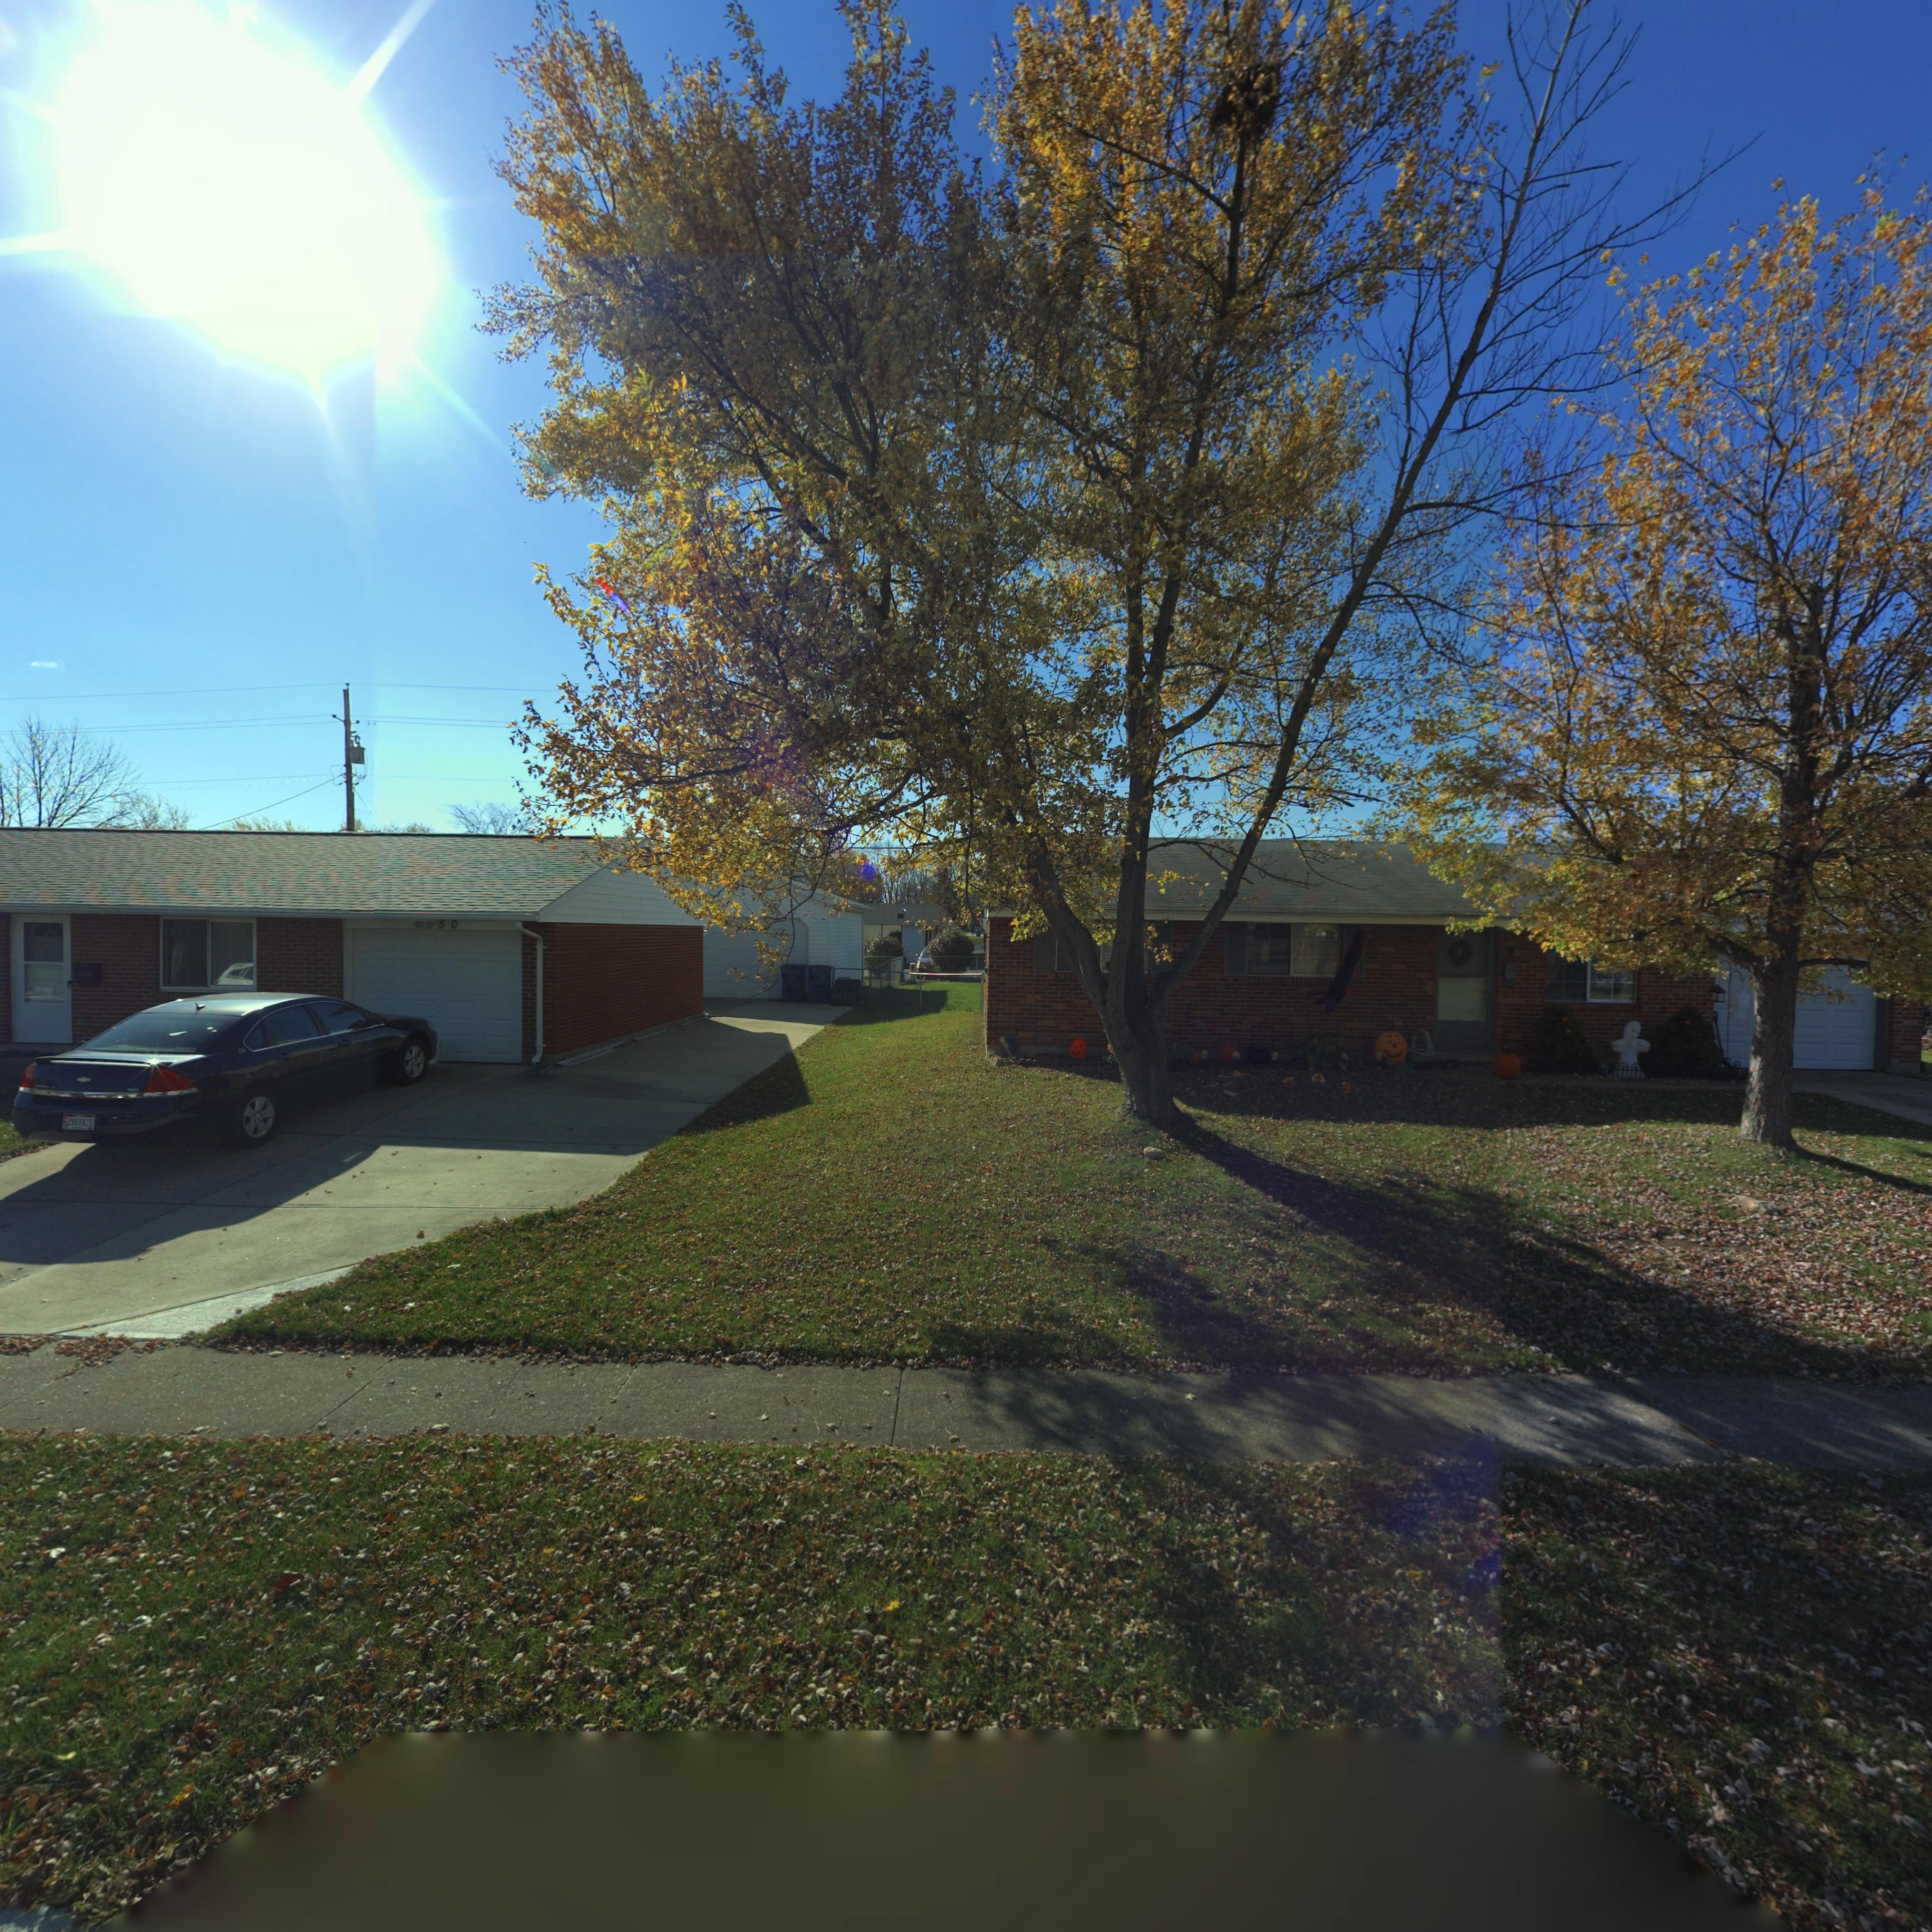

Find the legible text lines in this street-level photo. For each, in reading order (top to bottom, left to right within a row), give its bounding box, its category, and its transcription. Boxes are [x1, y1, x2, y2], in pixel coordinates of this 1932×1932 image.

[438, 919, 458, 929] StreetNumber: 50